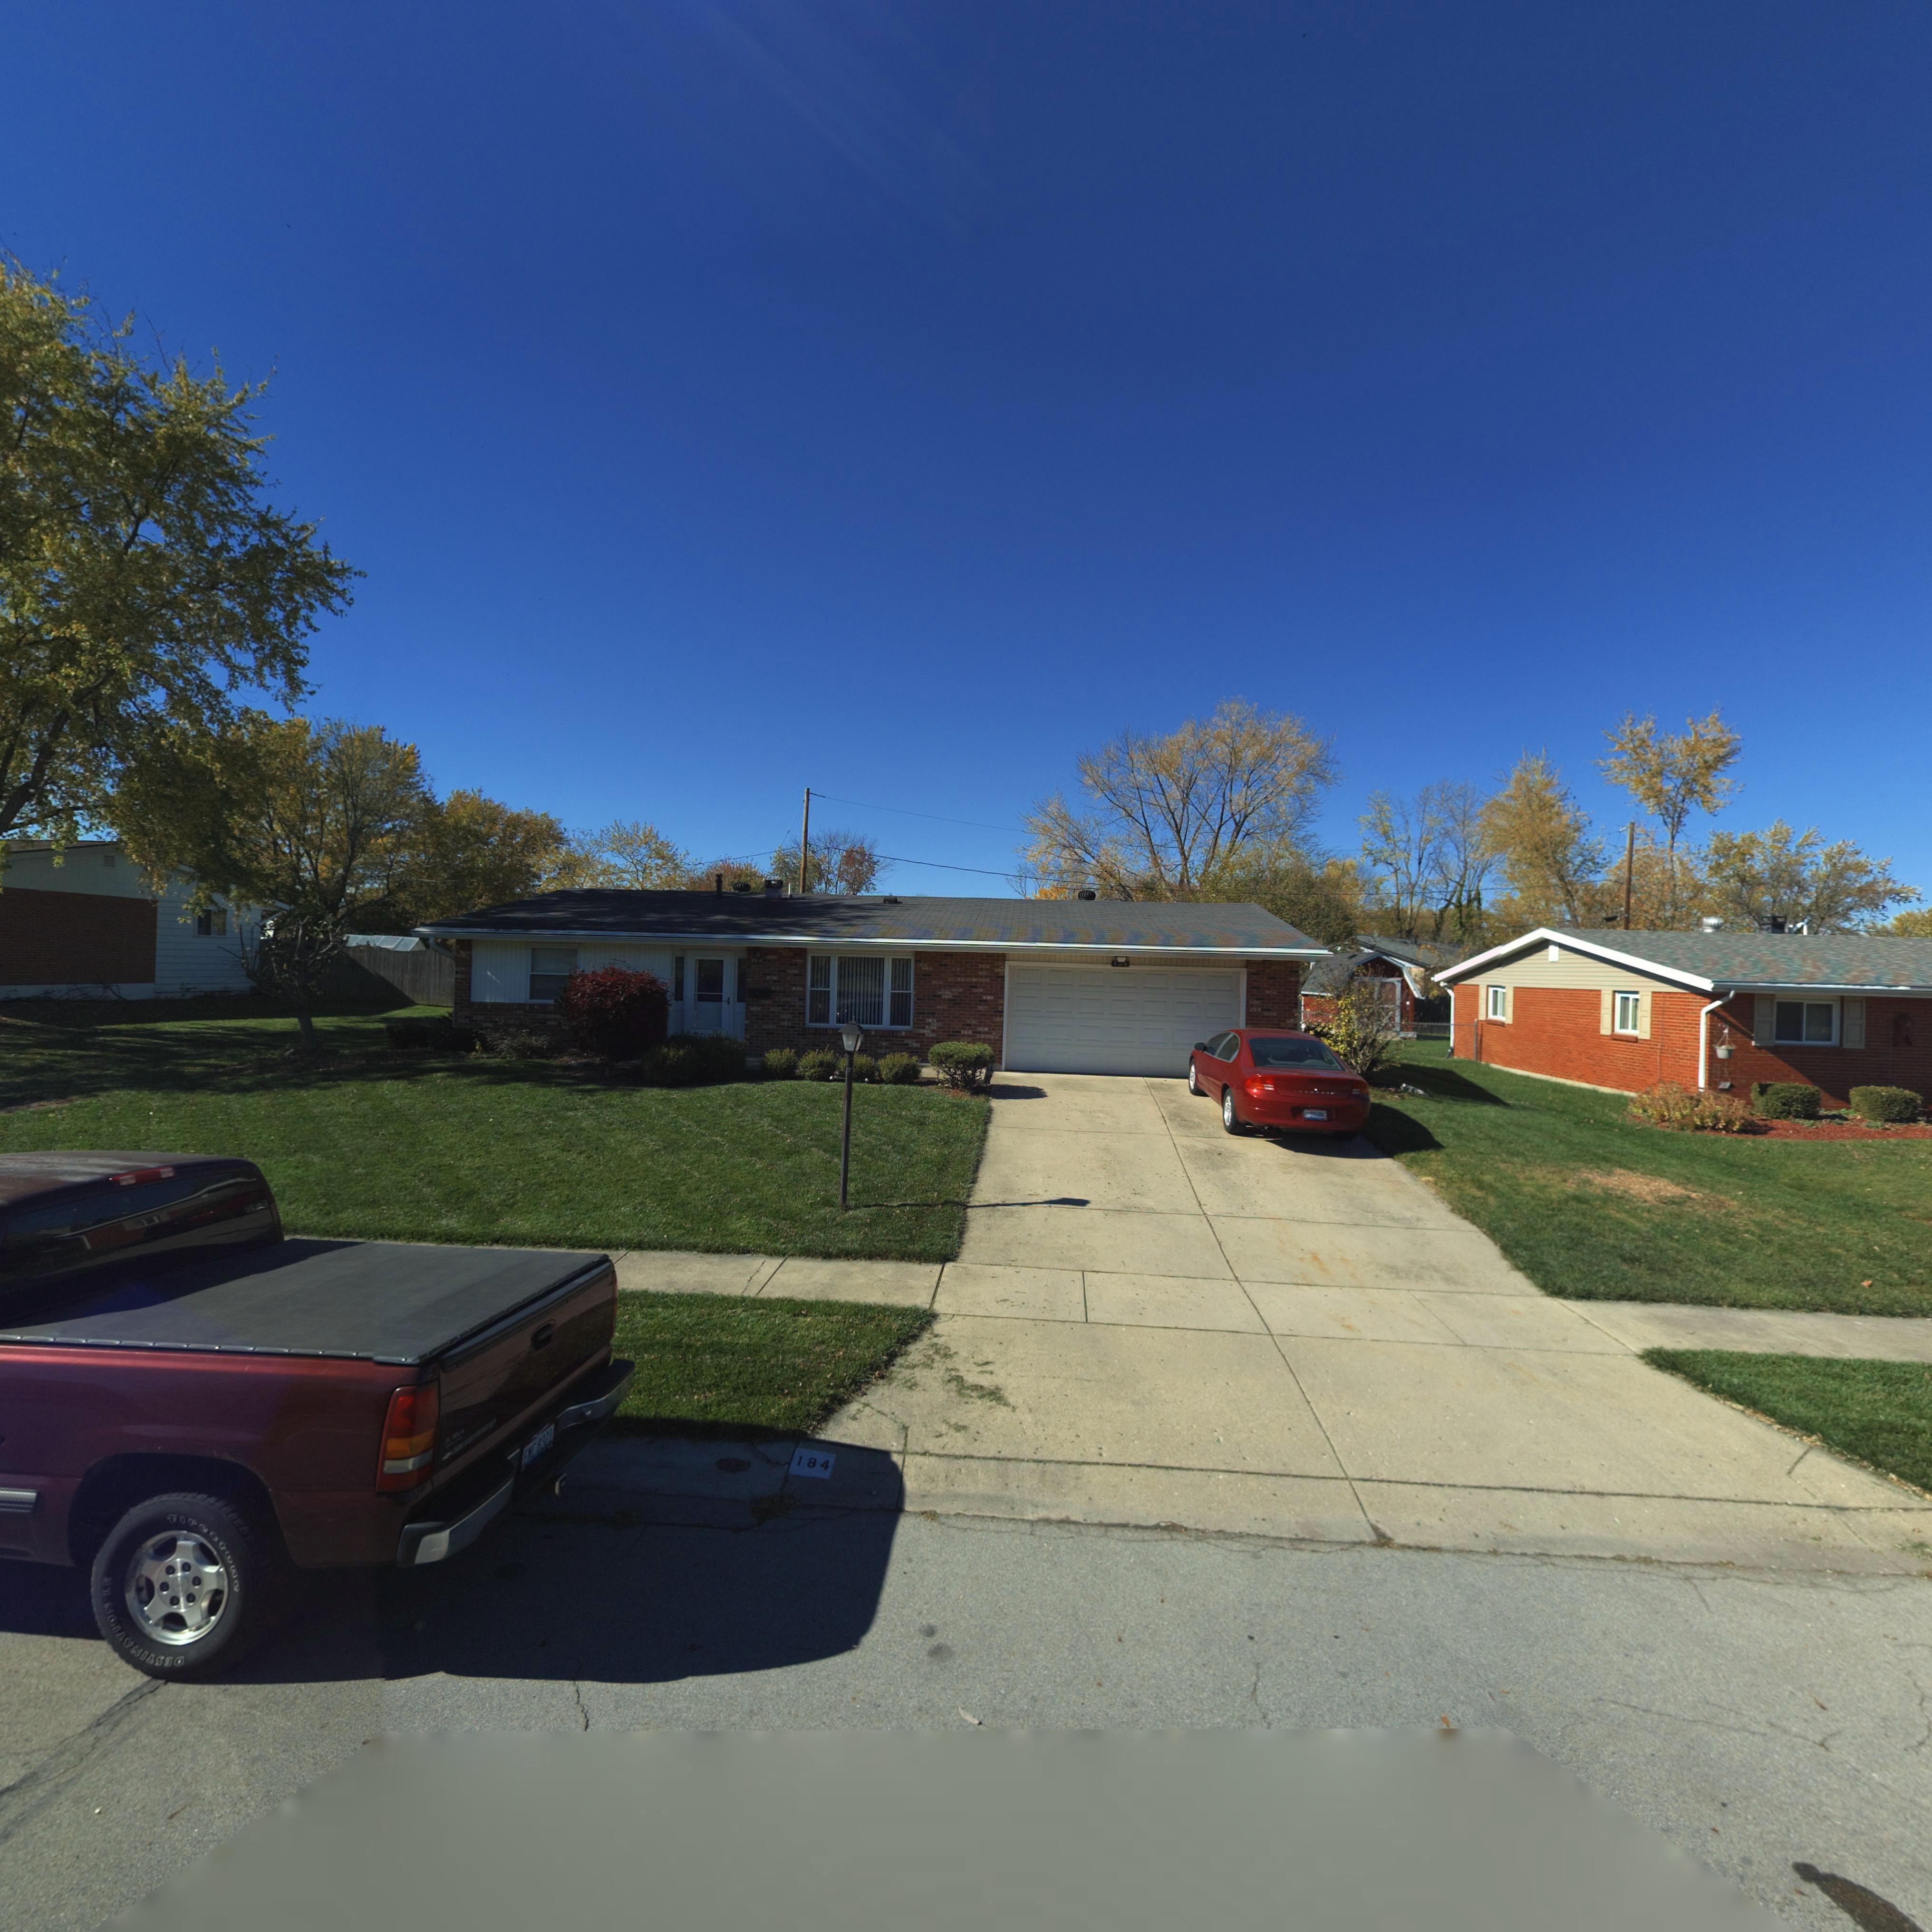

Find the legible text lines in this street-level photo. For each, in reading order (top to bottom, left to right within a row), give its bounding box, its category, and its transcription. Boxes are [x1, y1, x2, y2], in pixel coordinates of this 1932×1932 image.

[795, 1454, 831, 1472] StreetNumber: 184